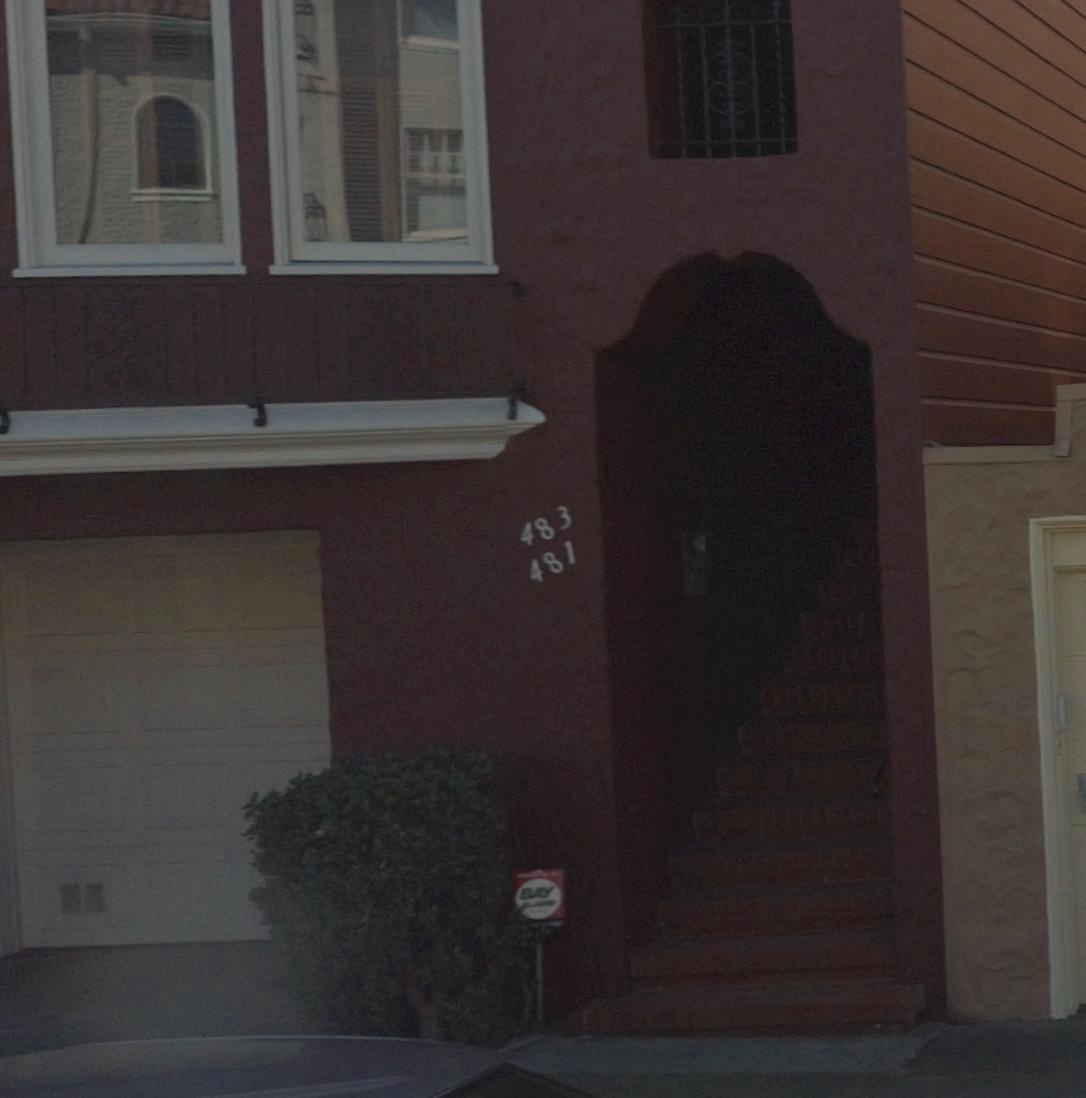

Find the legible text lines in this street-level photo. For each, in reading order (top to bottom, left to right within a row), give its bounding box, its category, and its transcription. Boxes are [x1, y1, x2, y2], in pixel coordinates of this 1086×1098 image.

[517, 500, 577, 555] StreetNumber: 483
[526, 535, 579, 591] StreetNumber: 481